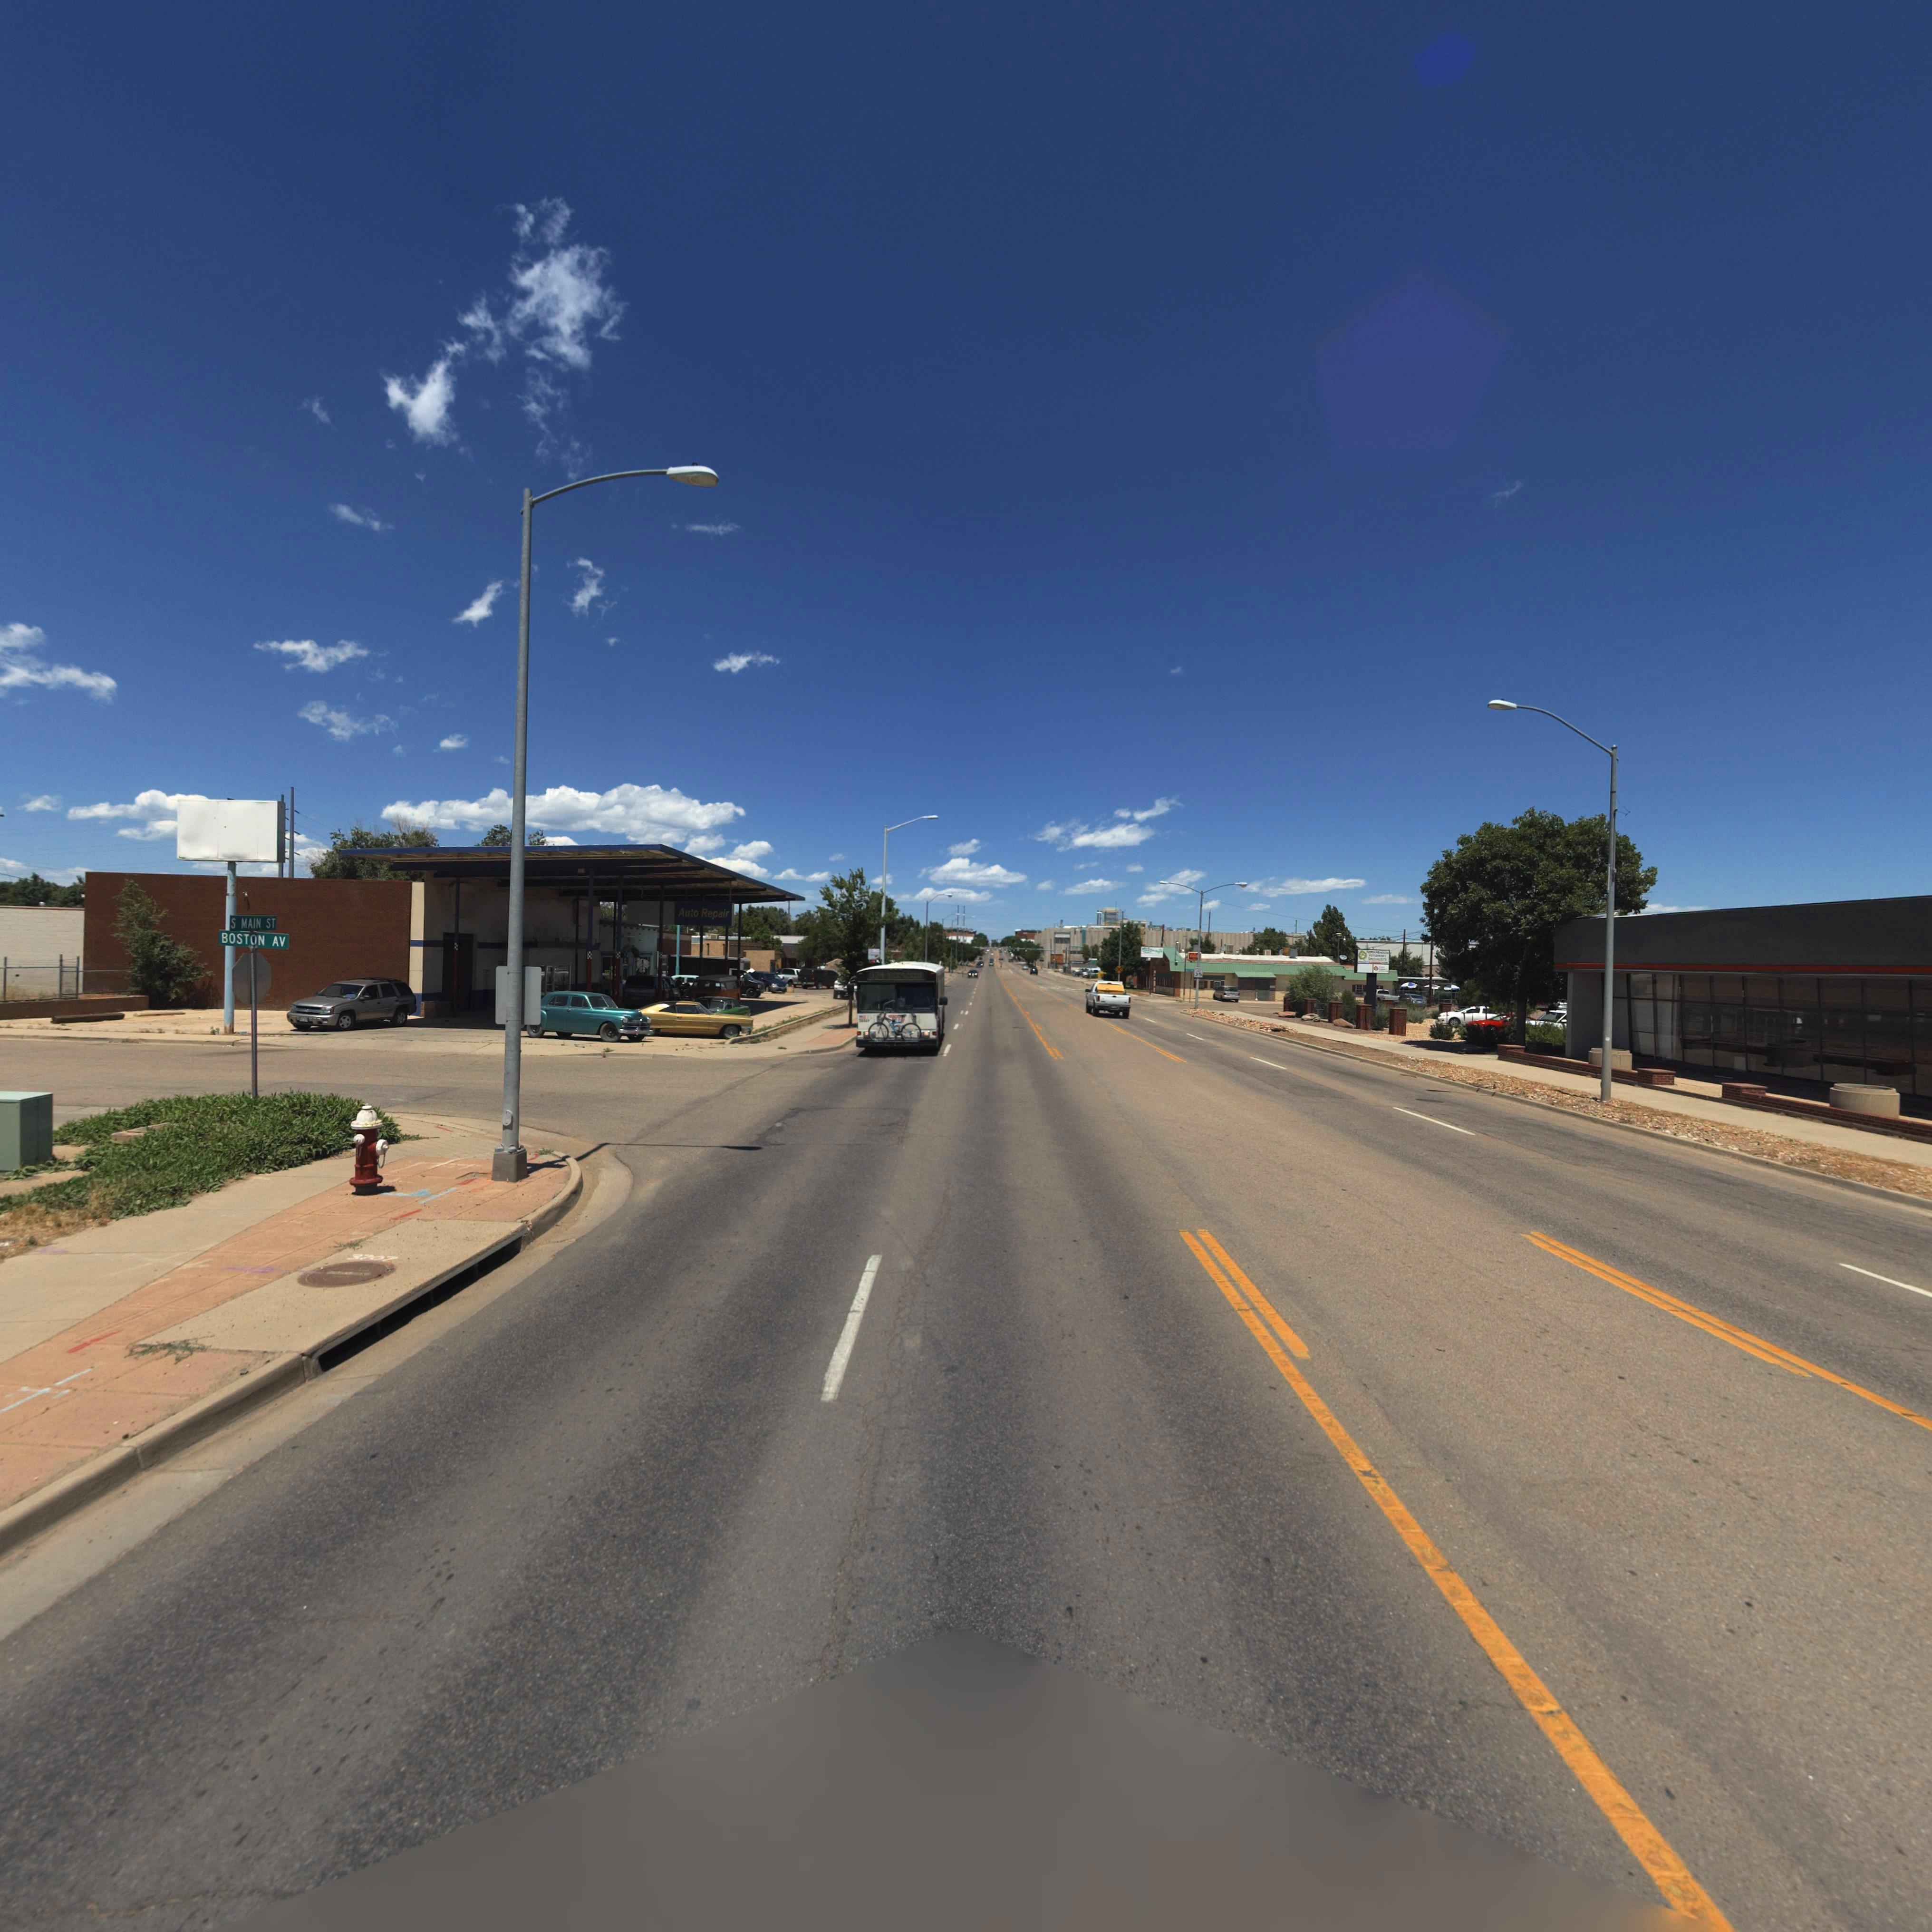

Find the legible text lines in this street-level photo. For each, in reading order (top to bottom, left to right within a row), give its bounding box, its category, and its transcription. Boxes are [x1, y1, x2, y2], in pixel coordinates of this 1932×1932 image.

[230, 917, 276, 928] StreetName: S MAIN ST
[220, 931, 286, 947] BusinessName: BOSTON AV
[1141, 947, 1160, 954] BusinessName: M*C****
[1365, 949, 1389, 954] BusinessName: ASPEN MEADOWS
[1368, 954, 1386, 957] BusinessName: VETERINARY
[1367, 956, 1387, 961] BusinessName: SPECIALISTS